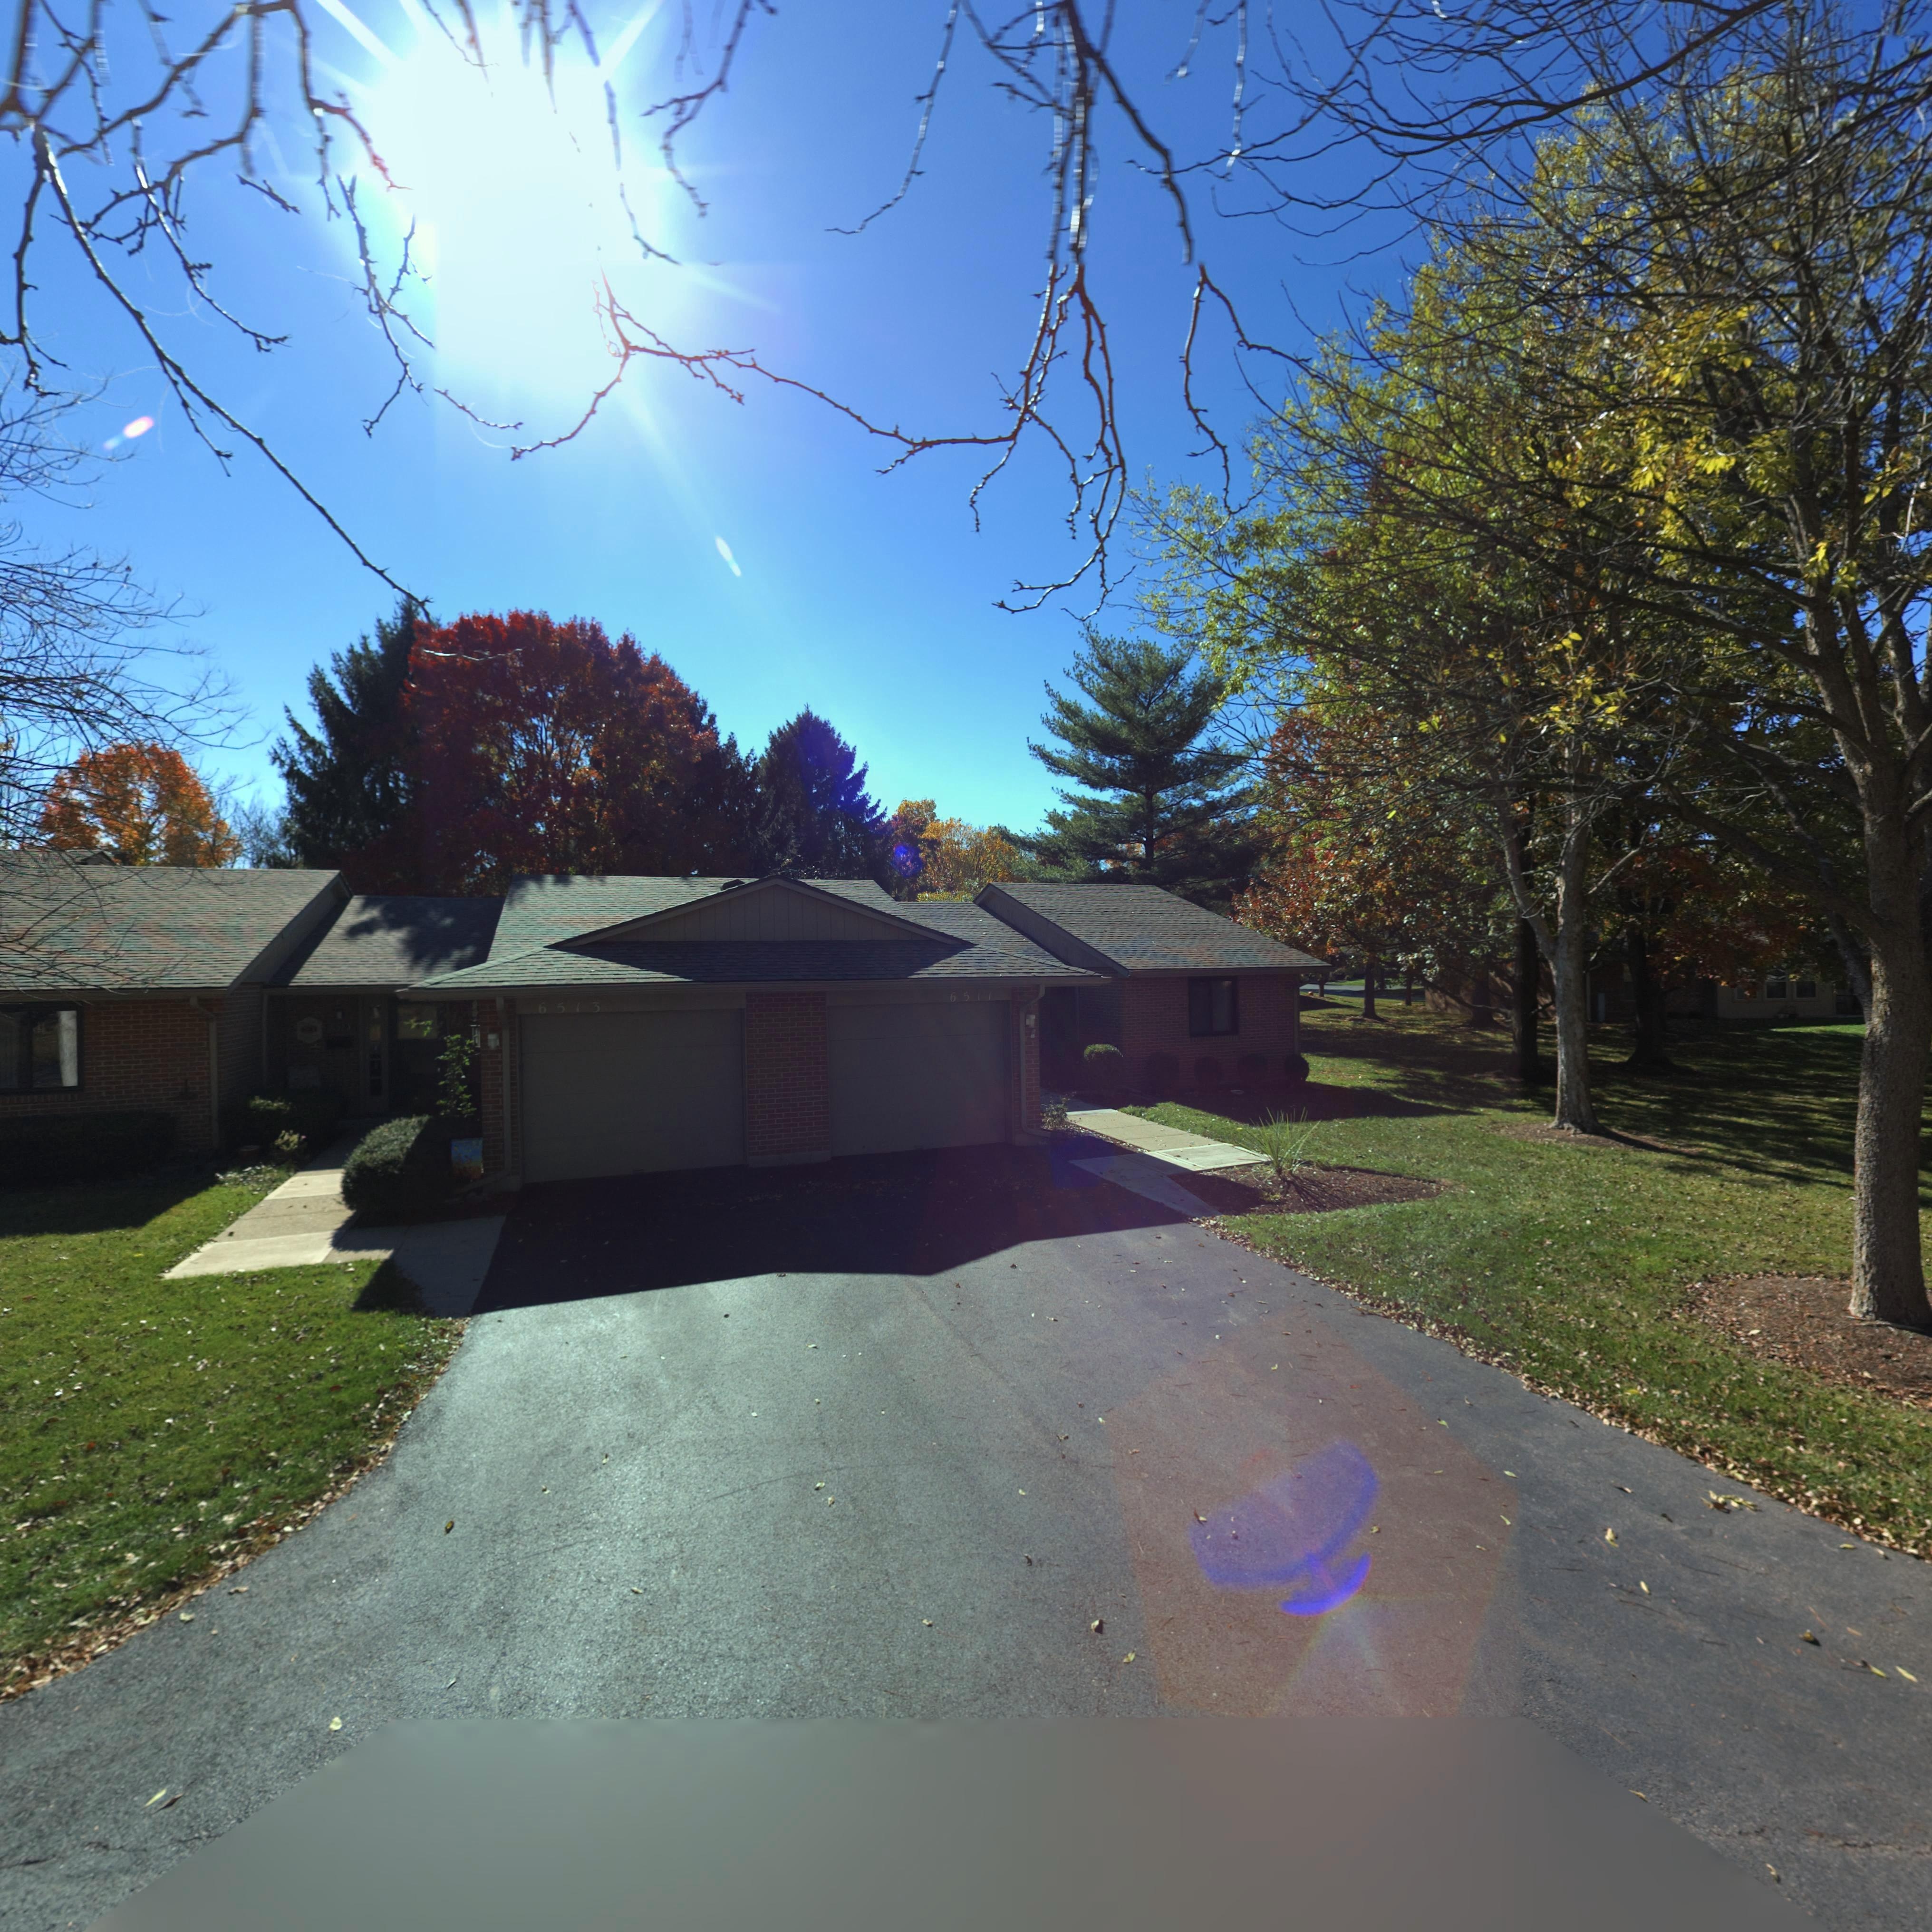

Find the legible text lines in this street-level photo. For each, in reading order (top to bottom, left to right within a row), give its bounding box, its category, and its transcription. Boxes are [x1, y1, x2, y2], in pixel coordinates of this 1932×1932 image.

[949, 990, 992, 1003] StreetNumber: 6511
[537, 1001, 601, 1015] StreetNumber: 6513